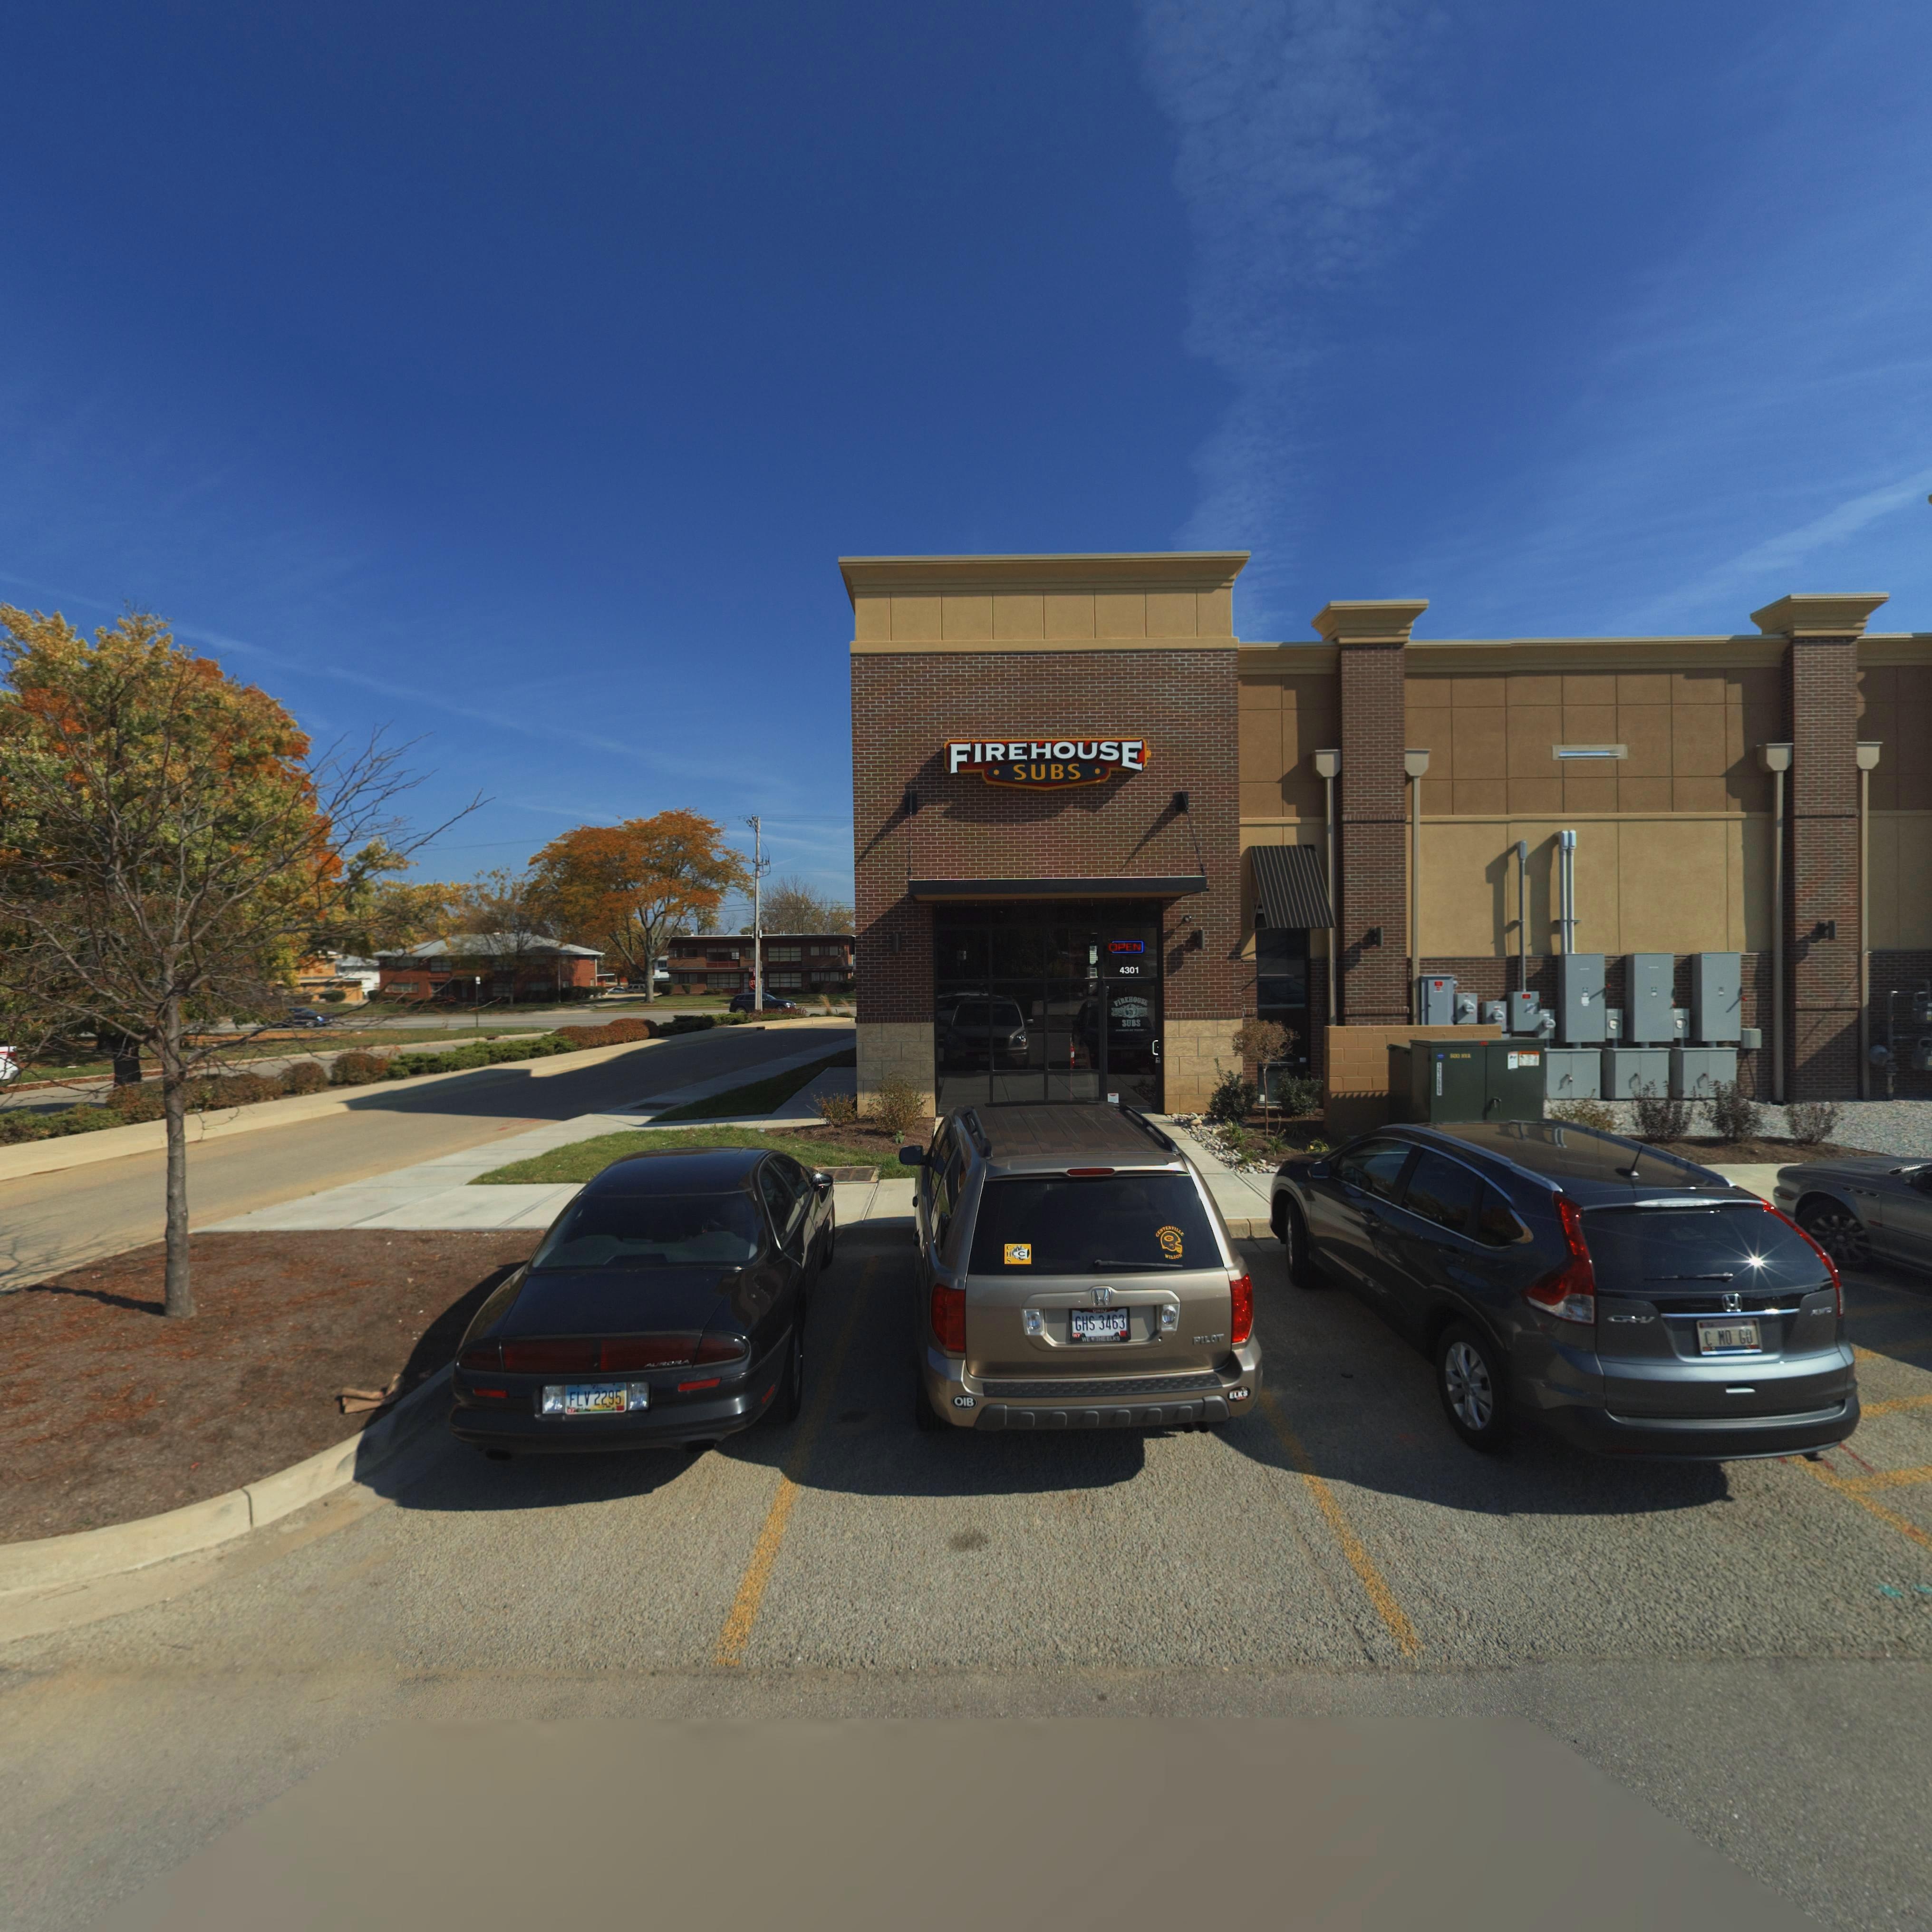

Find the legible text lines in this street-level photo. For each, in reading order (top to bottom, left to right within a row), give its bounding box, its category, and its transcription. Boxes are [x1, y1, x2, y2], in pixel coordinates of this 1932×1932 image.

[949, 739, 1144, 775] BusinessName: FIREHOUSE
[1013, 762, 1082, 782] BusinessName: SUBS
[1118, 965, 1140, 975] StreetNumber: 4301
[1112, 995, 1150, 1008] BusinessName: FI**HOUS*
[1121, 1018, 1142, 1028] BusinessName: SUBS